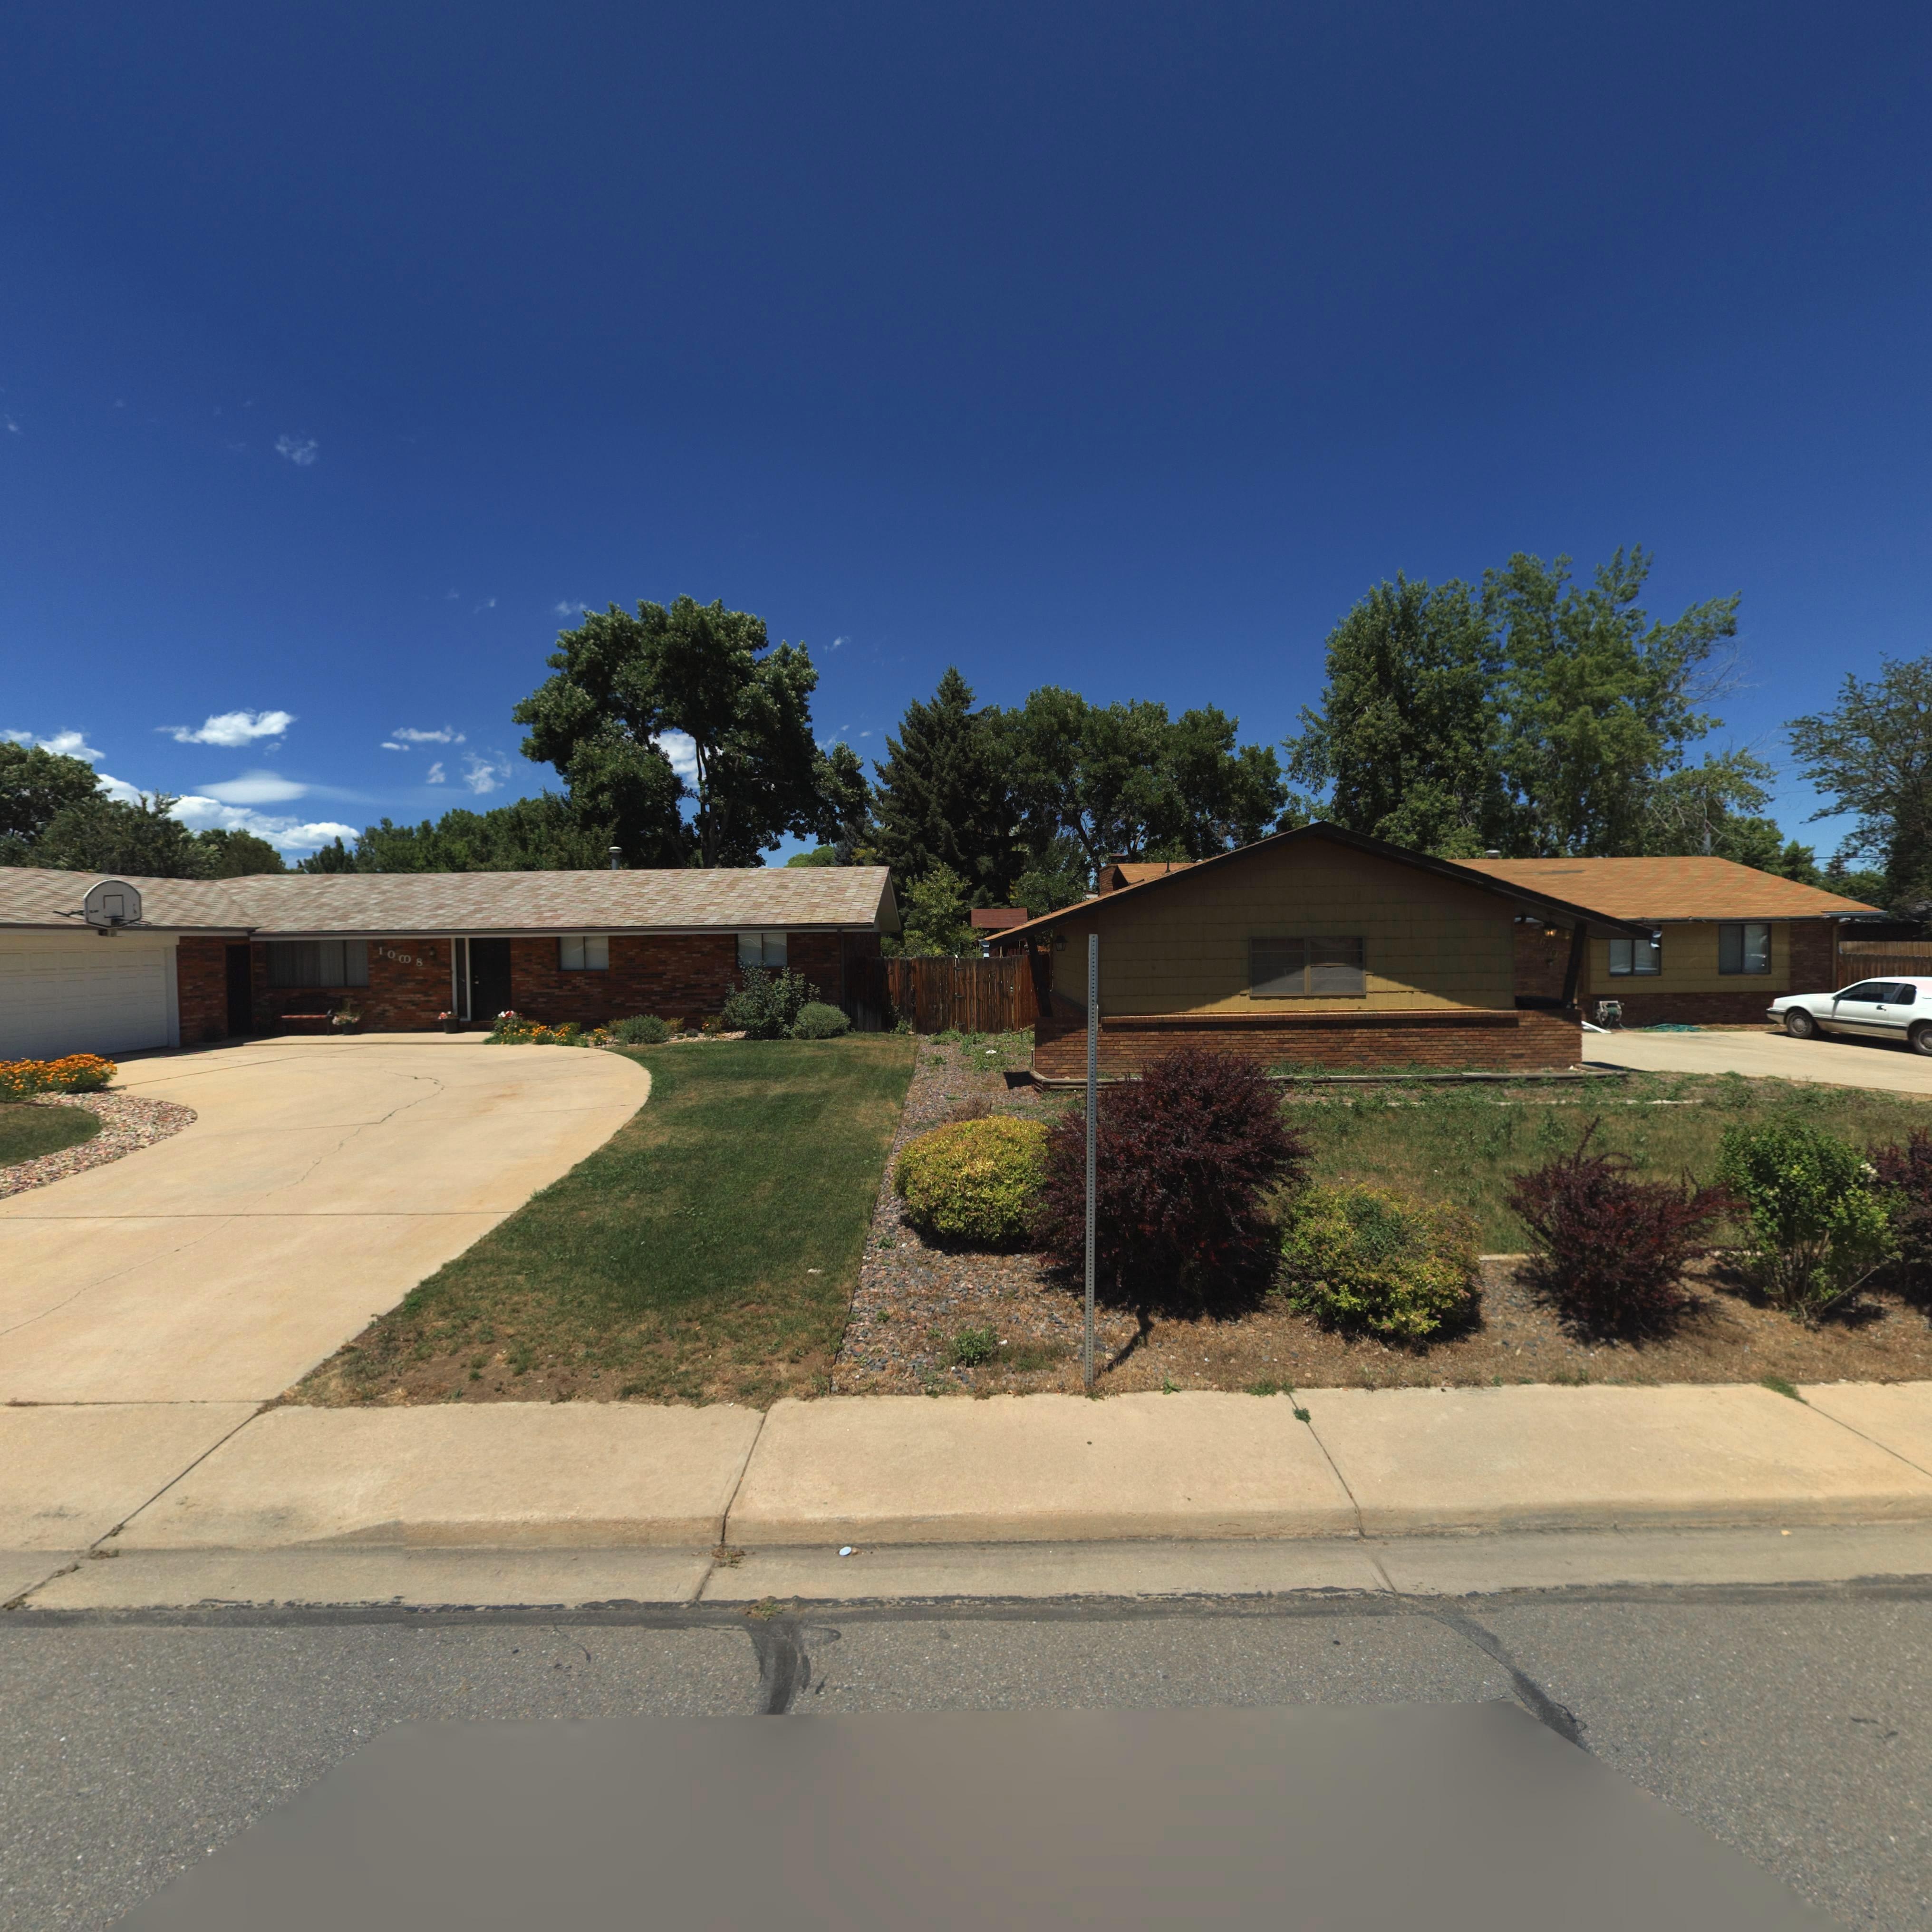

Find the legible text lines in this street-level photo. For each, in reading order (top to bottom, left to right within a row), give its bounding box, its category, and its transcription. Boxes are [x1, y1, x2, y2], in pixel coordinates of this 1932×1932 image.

[378, 946, 423, 967] StreetNumber: 10*8
[1541, 940, 1556, 956] StreetNumber: 1000